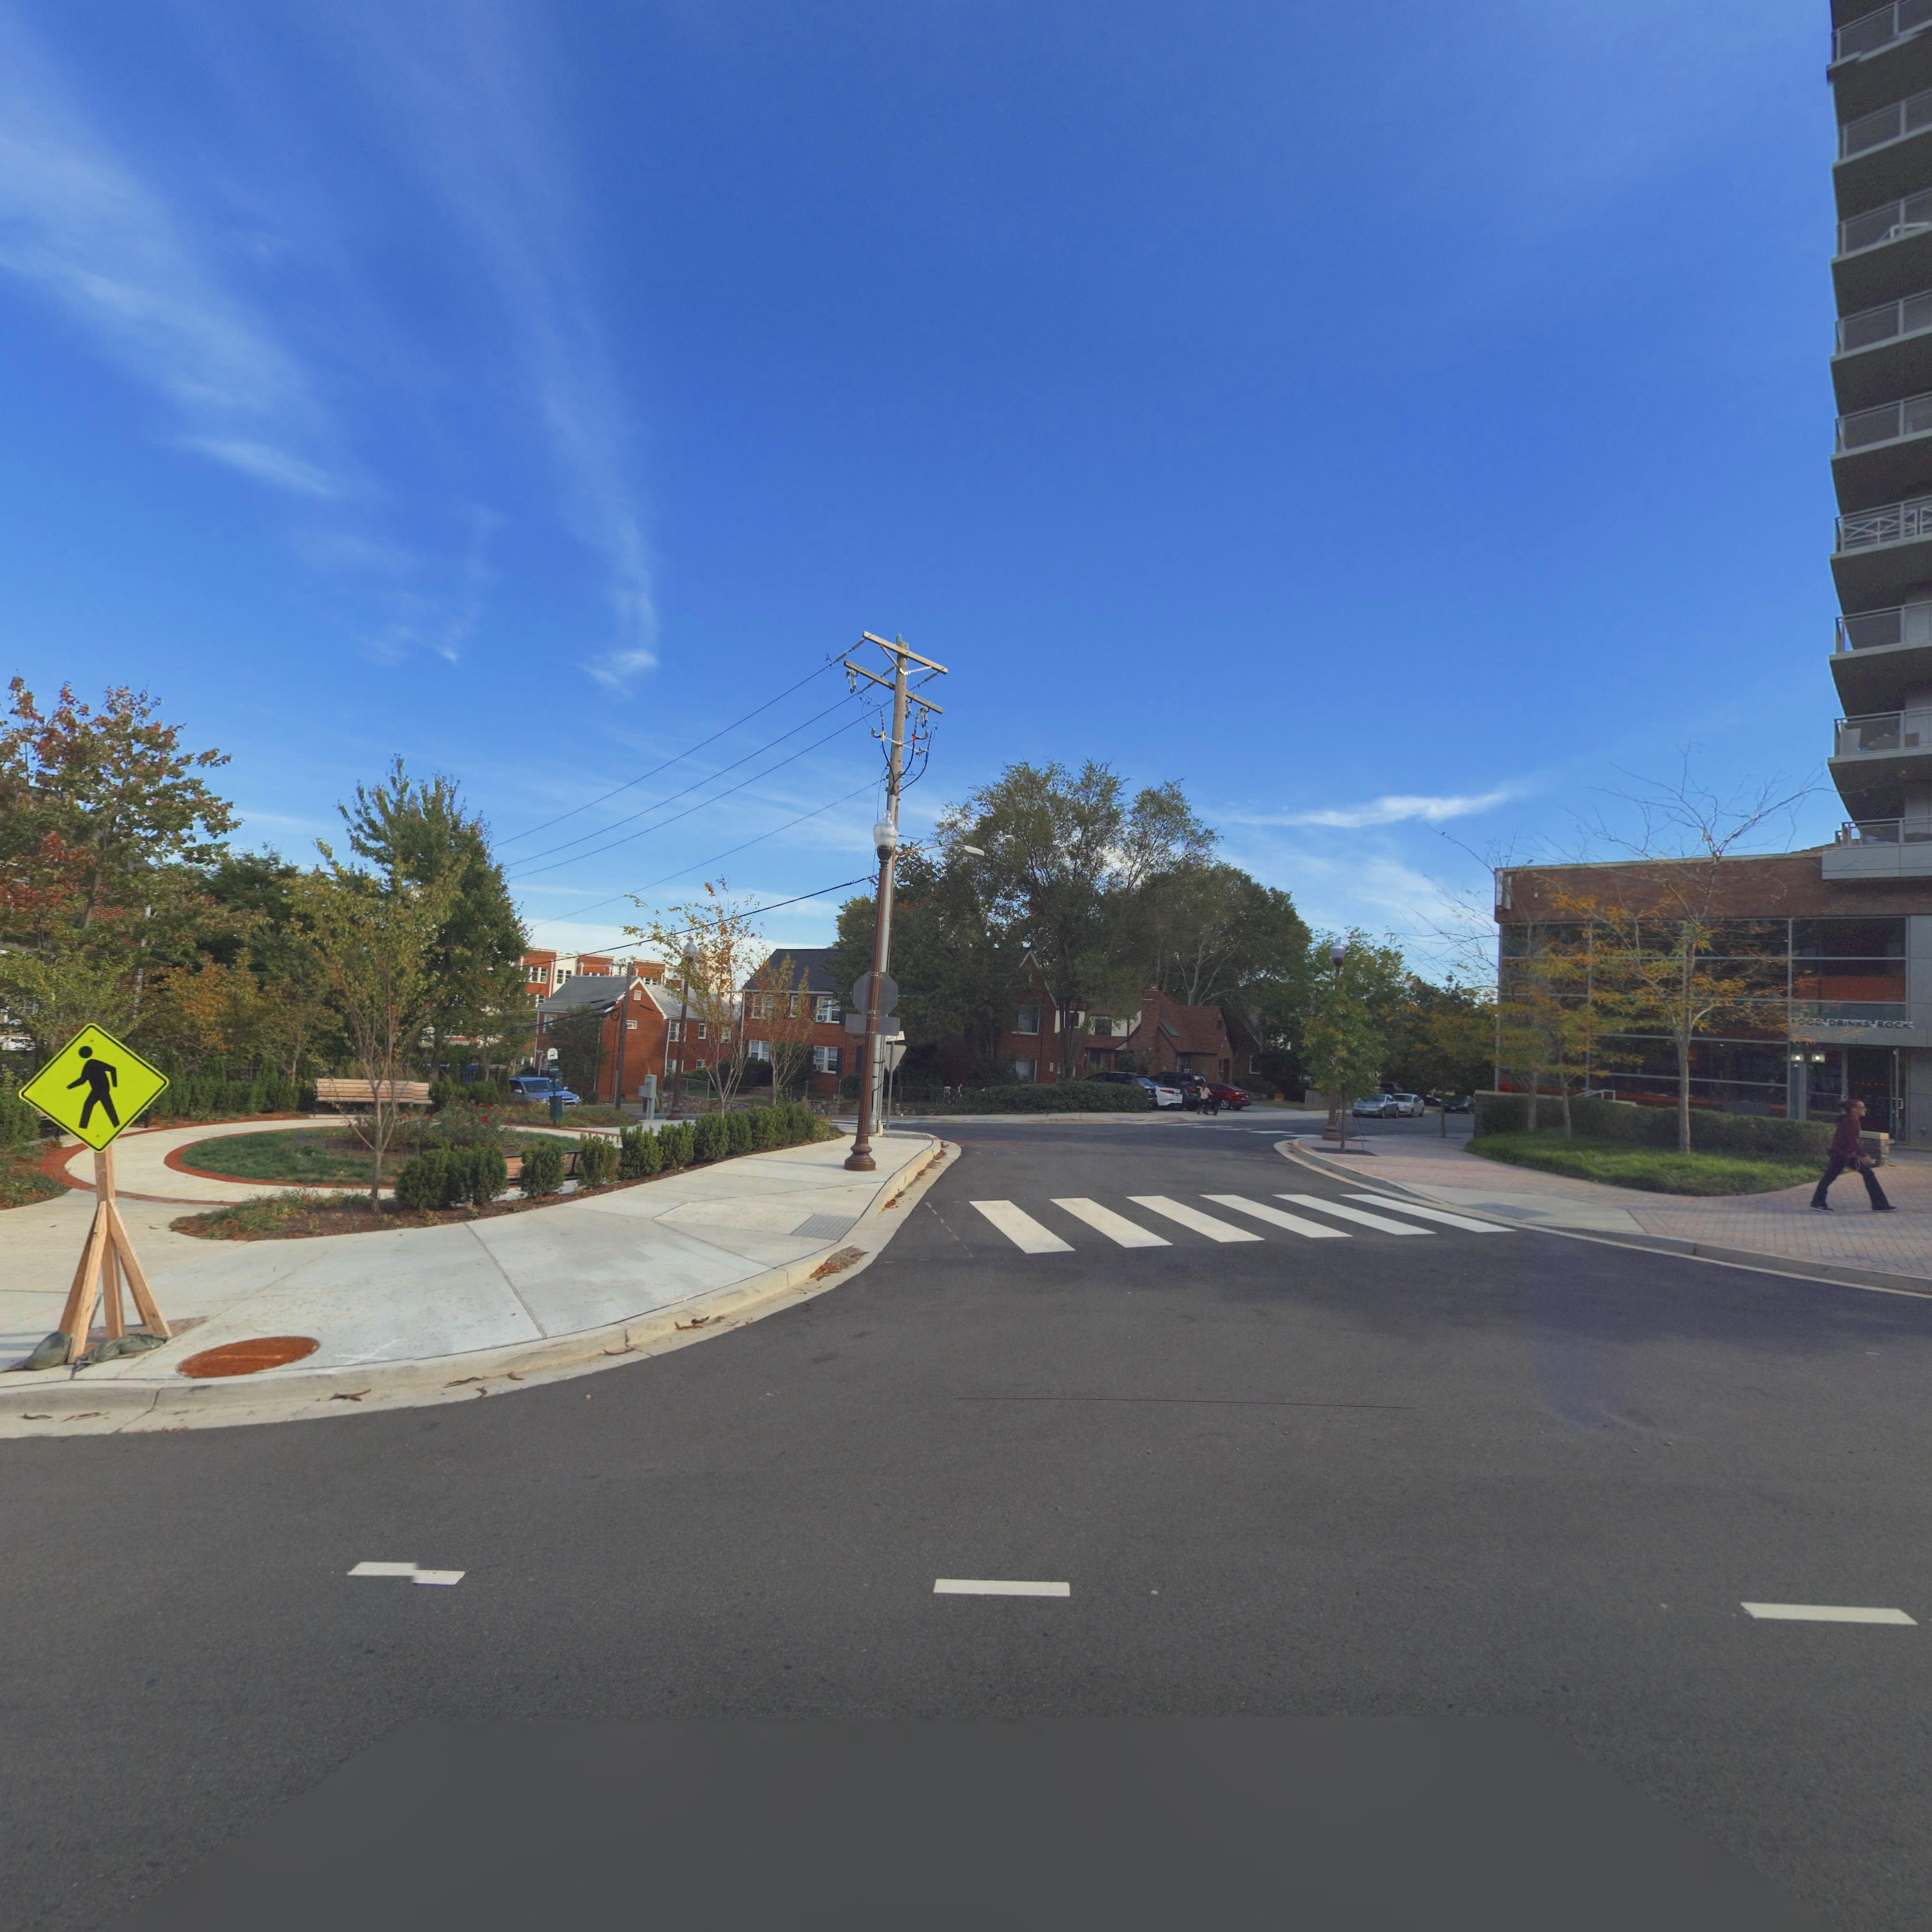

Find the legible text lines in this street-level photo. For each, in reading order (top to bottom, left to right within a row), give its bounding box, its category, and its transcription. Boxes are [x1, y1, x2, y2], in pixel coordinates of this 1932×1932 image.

[1827, 1017, 1913, 1030] None: DRINKS ROCK